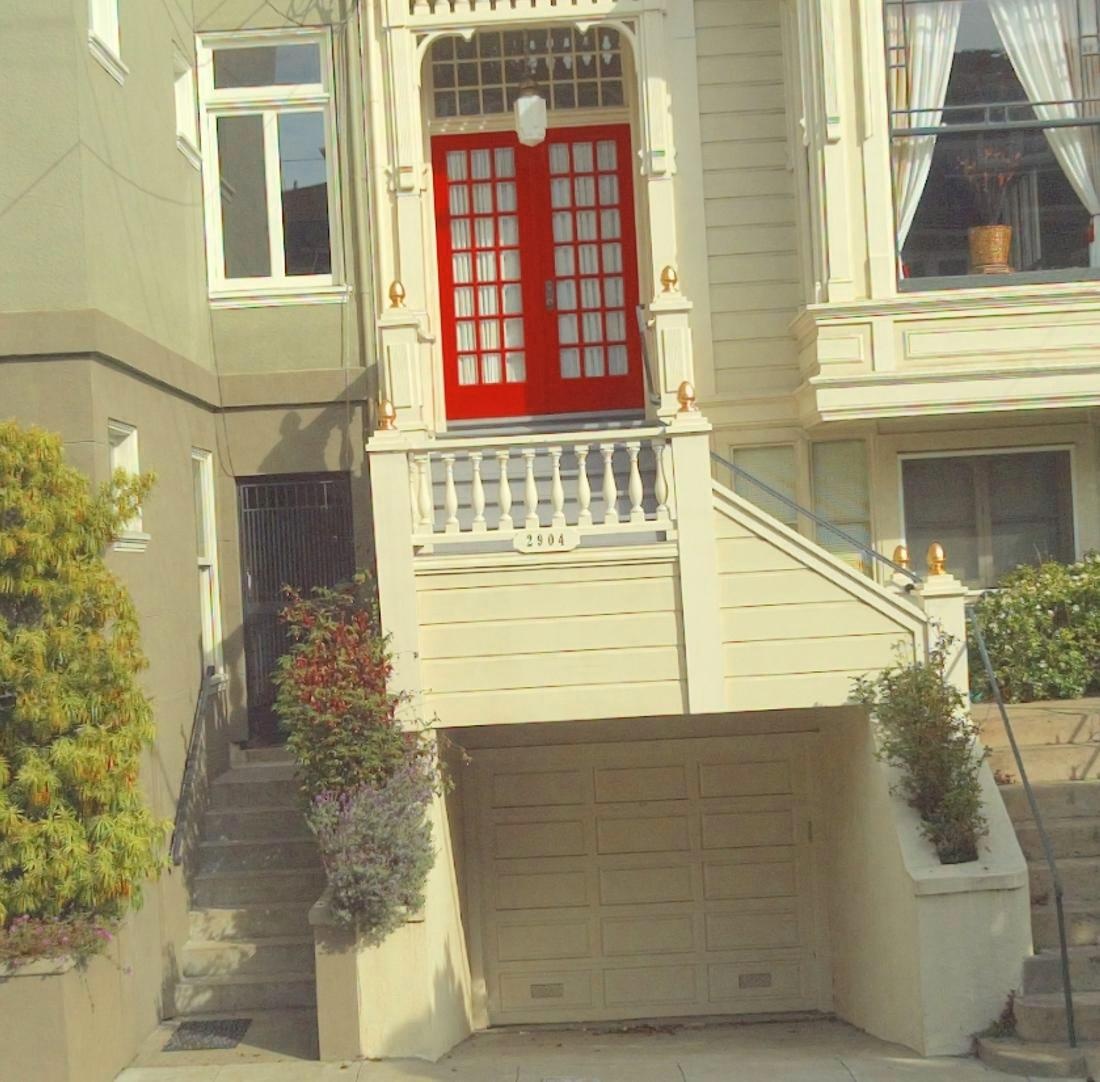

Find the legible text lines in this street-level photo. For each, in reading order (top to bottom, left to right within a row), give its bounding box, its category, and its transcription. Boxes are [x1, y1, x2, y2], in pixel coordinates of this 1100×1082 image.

[524, 530, 567, 549] StreetNumber: 2904